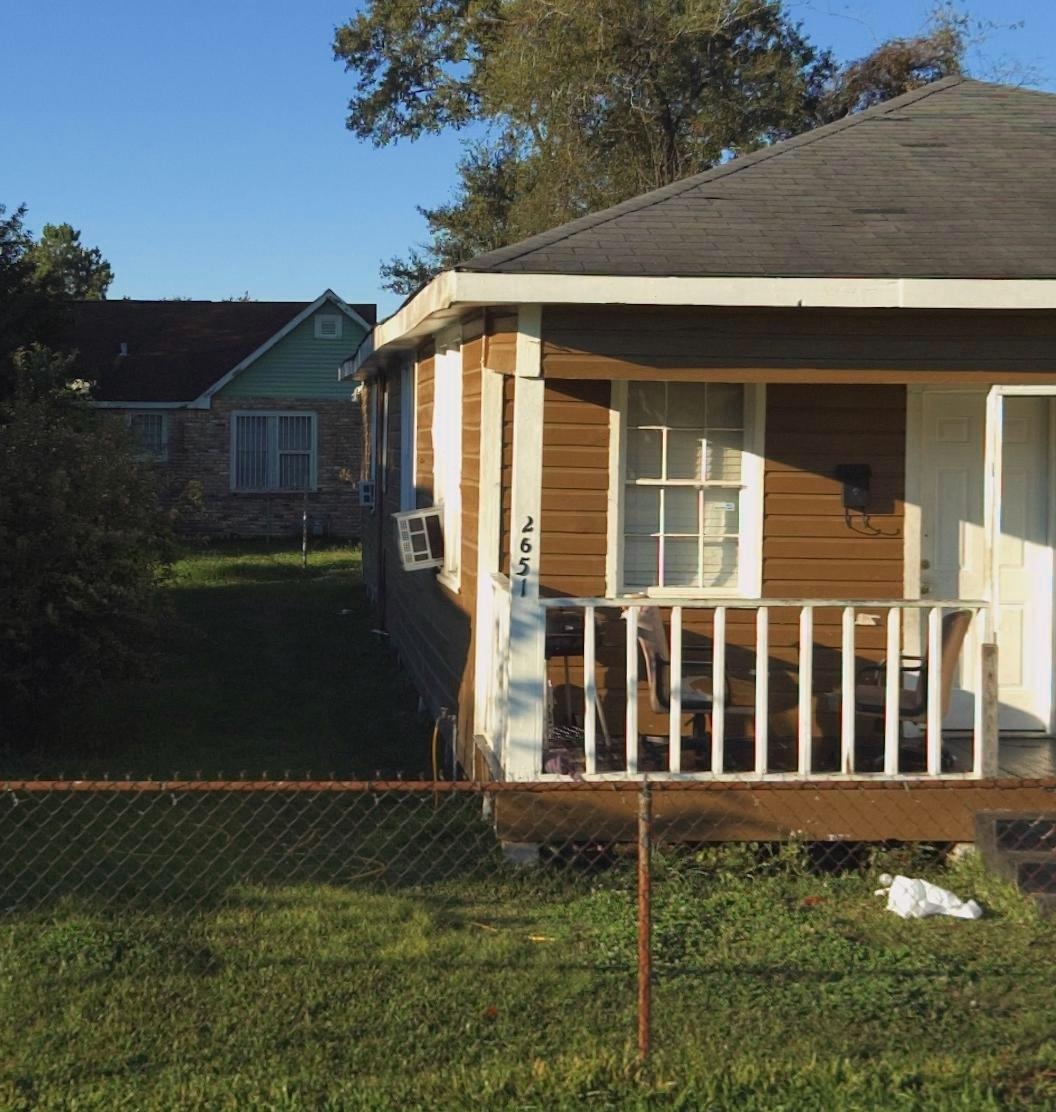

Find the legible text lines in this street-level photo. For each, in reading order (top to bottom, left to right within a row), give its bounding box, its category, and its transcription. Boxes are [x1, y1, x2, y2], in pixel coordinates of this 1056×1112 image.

[513, 513, 537, 600] StreetNumber: 2651